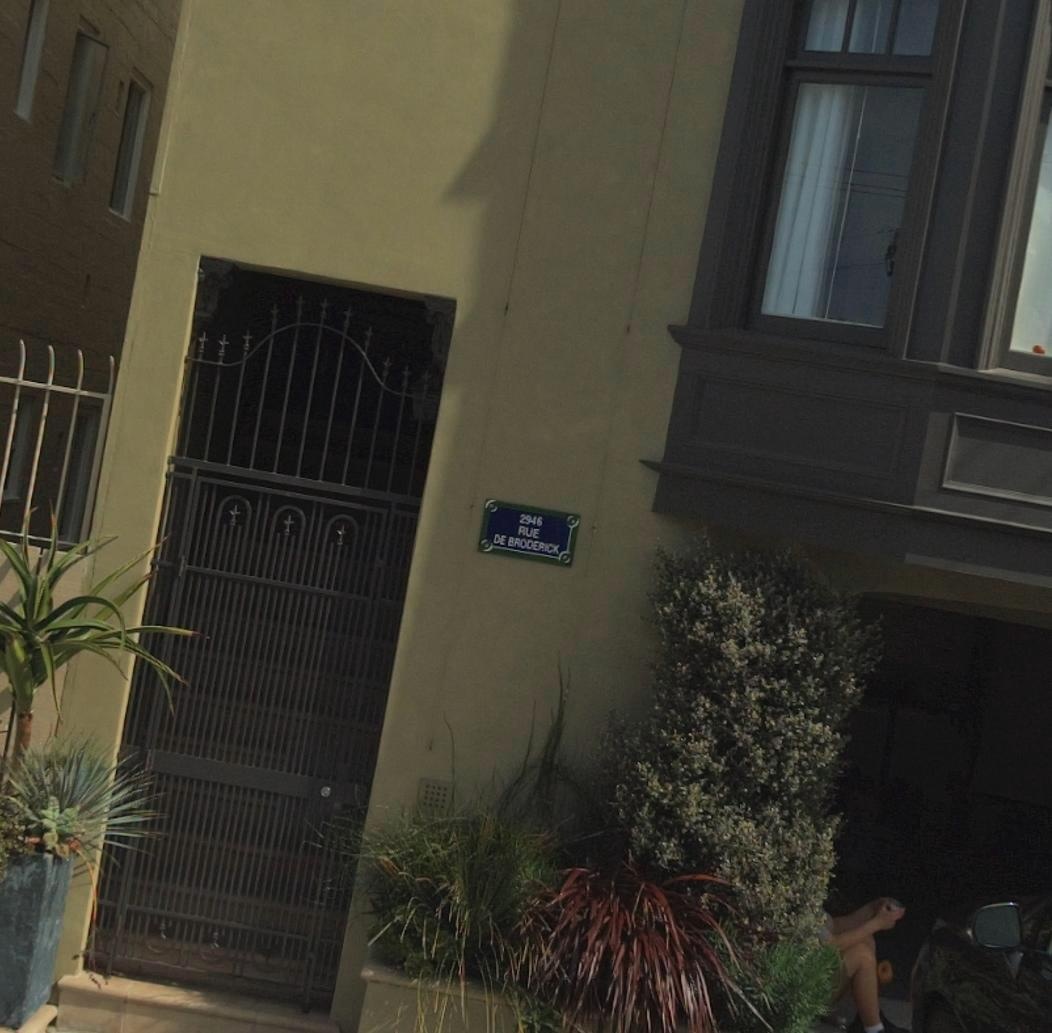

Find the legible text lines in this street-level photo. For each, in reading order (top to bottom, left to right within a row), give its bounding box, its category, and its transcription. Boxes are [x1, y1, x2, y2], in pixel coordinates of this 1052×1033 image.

[517, 511, 545, 529] StreetNumber: 2946
[515, 523, 543, 541] StreetName: RUE
[491, 530, 562, 557] StreetName: DE BRODERICK